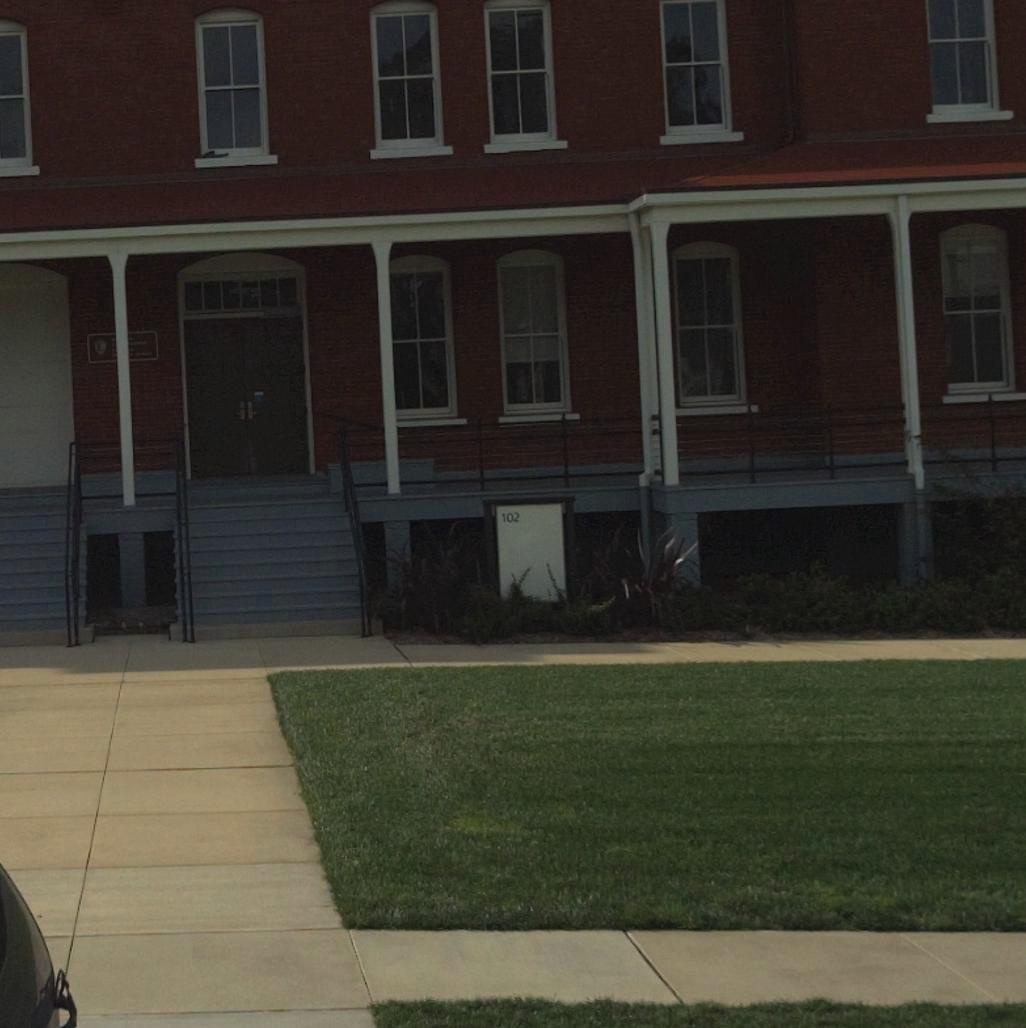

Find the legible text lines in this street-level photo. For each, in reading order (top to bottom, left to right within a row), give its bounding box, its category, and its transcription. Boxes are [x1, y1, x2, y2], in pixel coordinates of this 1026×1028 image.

[501, 510, 521, 524] StreetNumber: 102